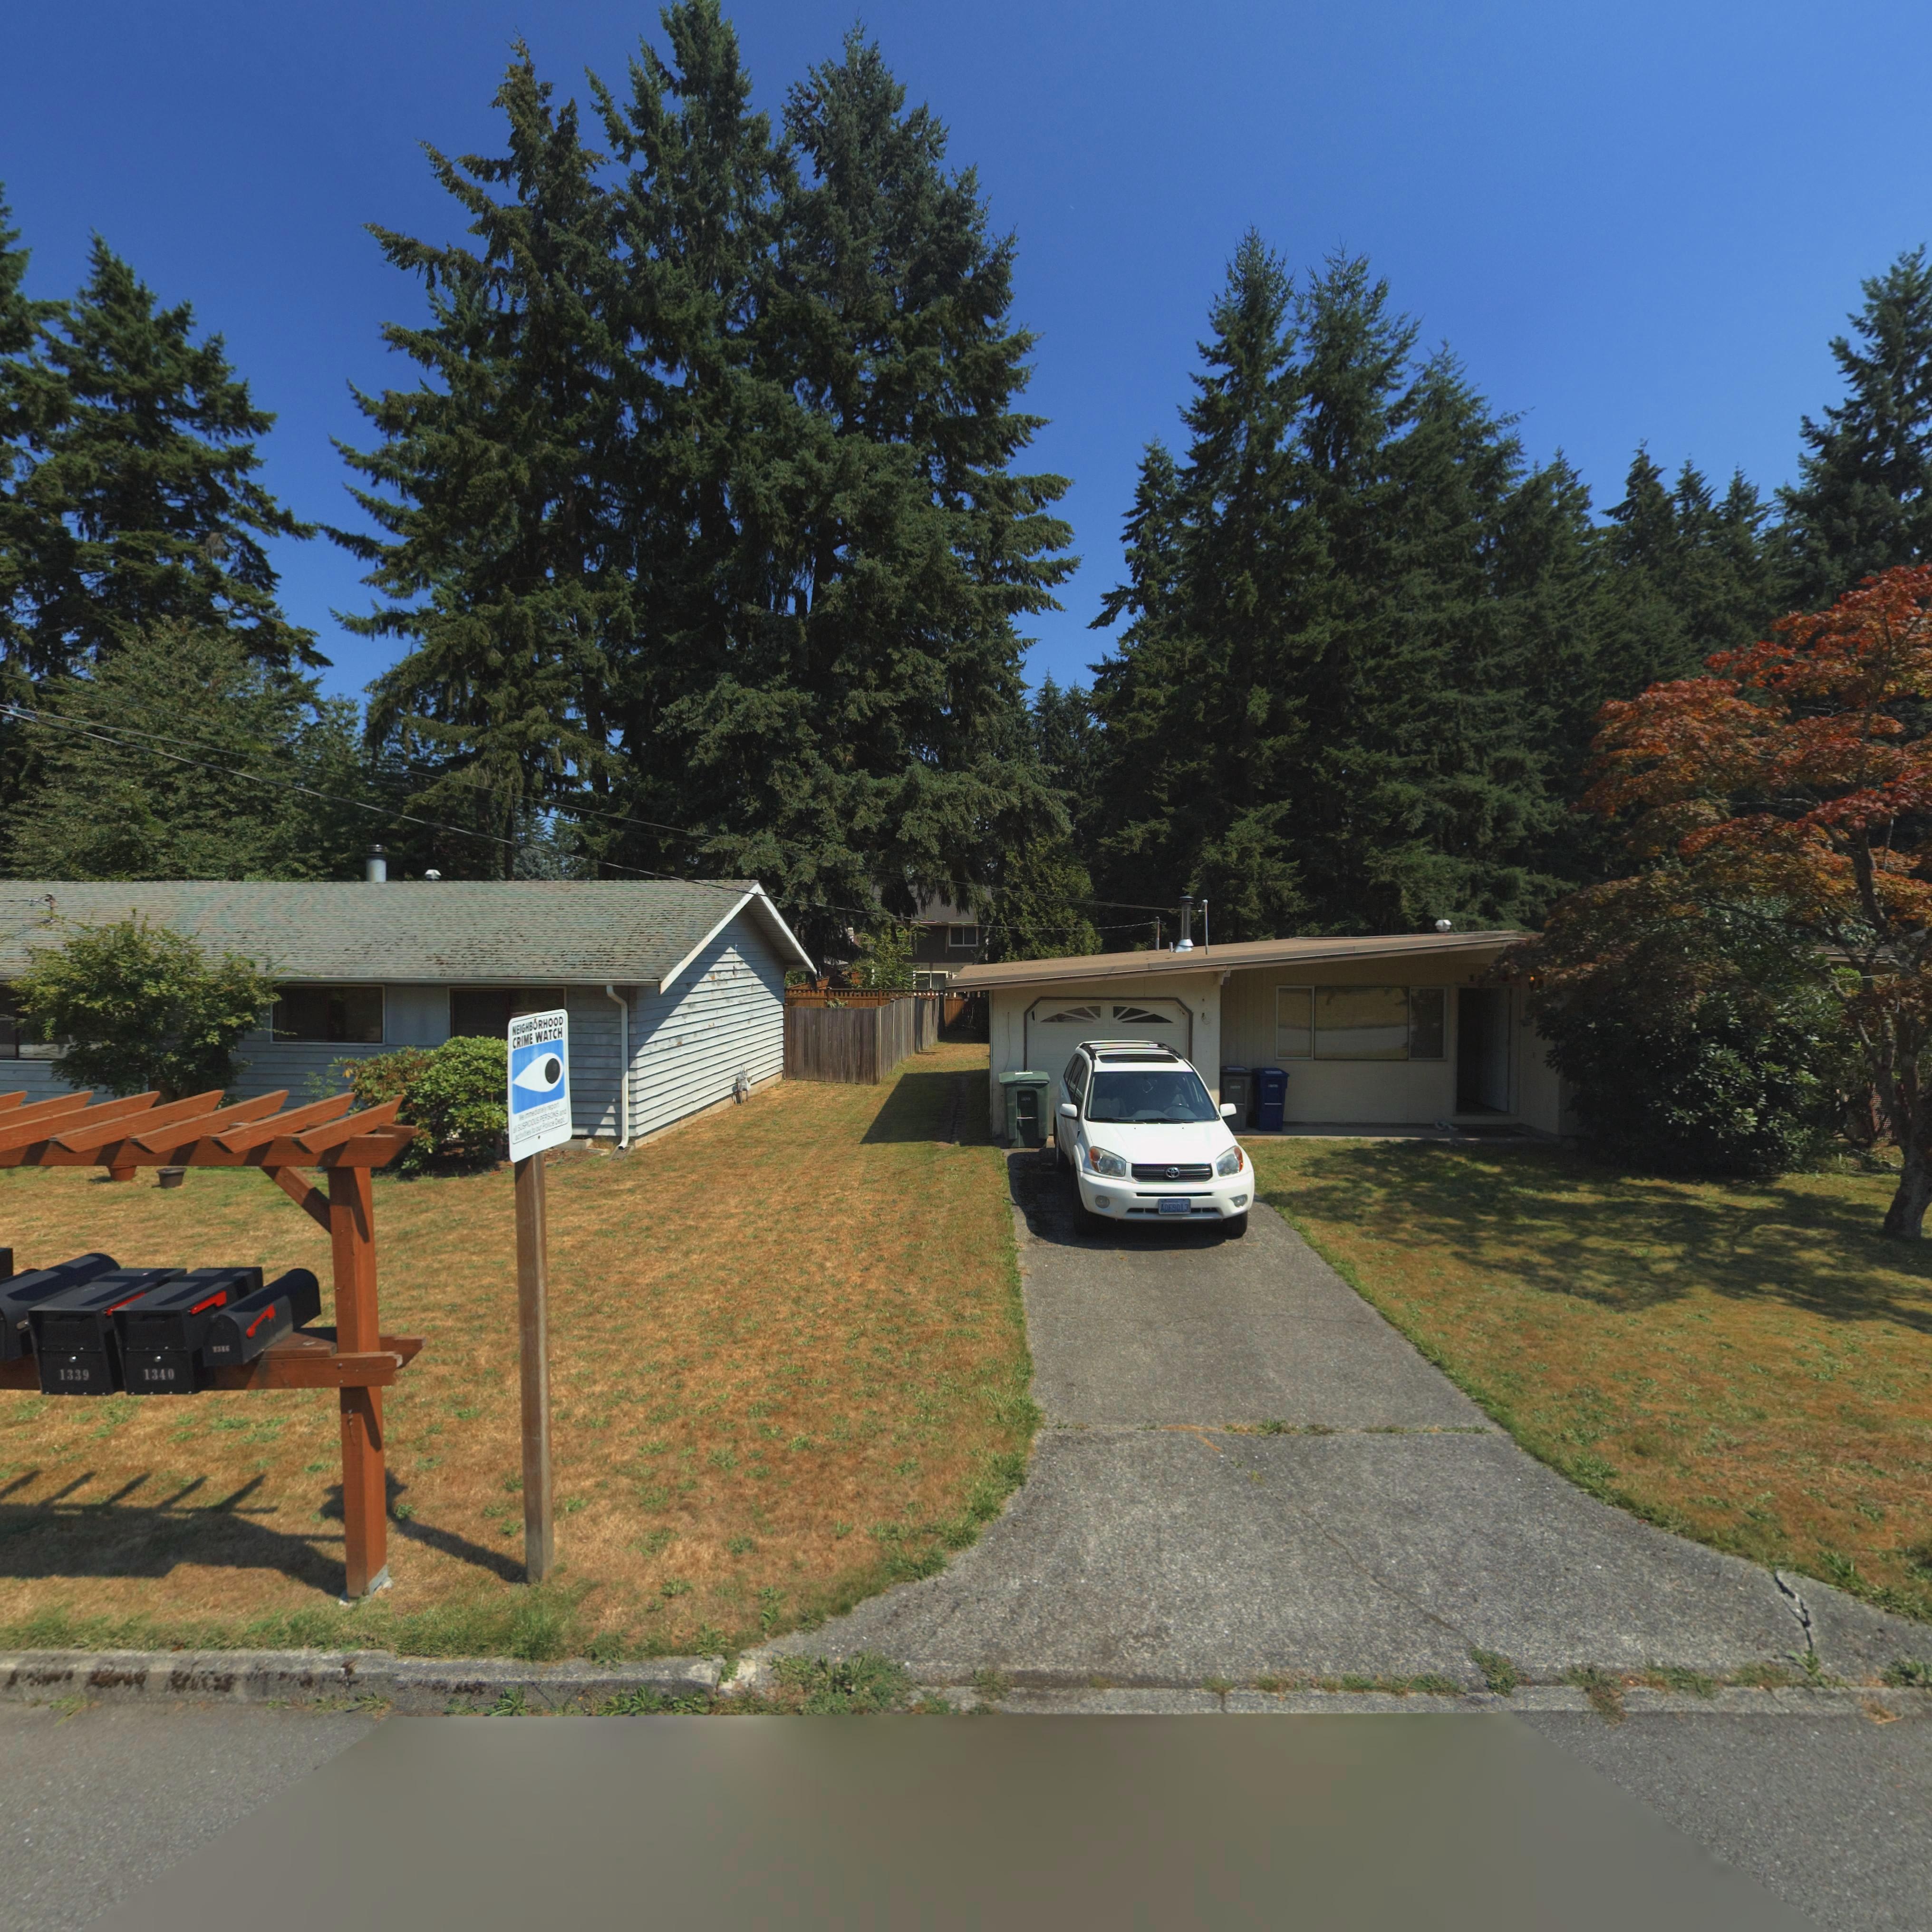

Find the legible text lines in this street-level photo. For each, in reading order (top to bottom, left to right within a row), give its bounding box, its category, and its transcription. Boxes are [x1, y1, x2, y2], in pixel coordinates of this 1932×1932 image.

[213, 1345, 230, 1352] StreetNumber: 13*6
[59, 1369, 89, 1380] StreetNumber: 1339
[162, 1369, 174, 1380] StreetNumber: *0